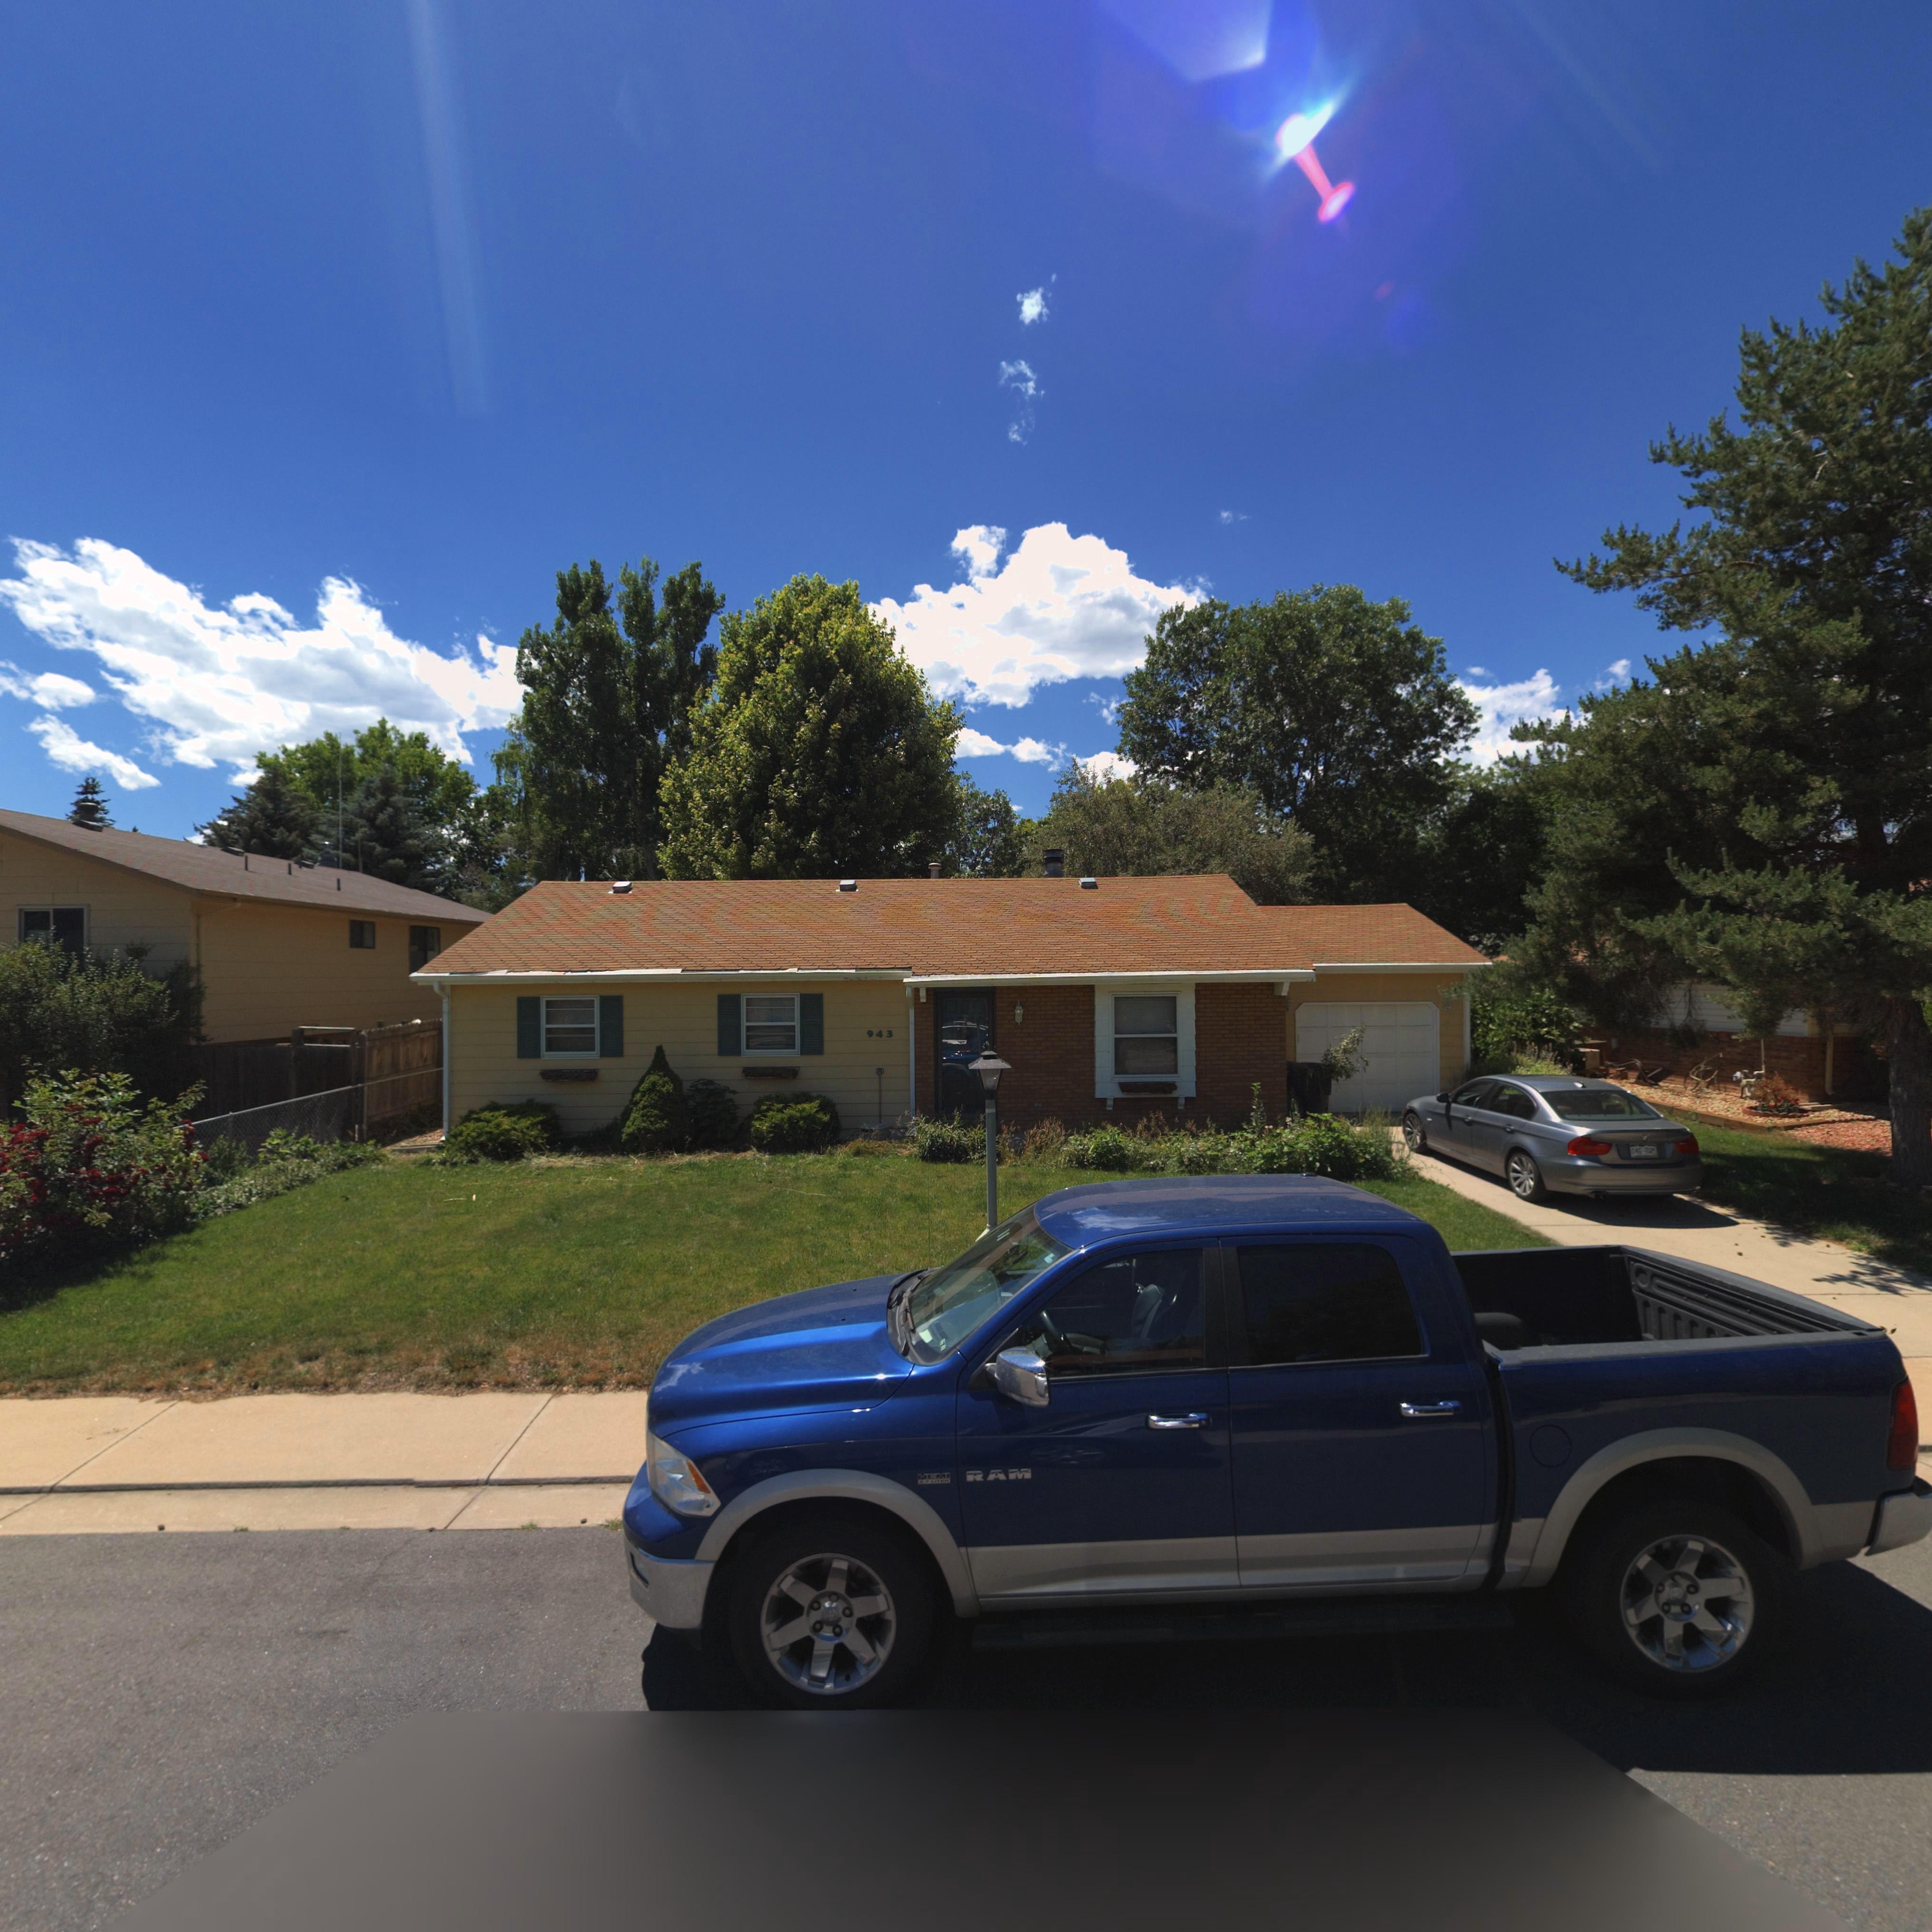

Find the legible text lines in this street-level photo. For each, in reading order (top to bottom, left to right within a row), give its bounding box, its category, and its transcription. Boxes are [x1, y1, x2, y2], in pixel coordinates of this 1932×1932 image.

[866, 1029, 893, 1038] StreetNumber: 943